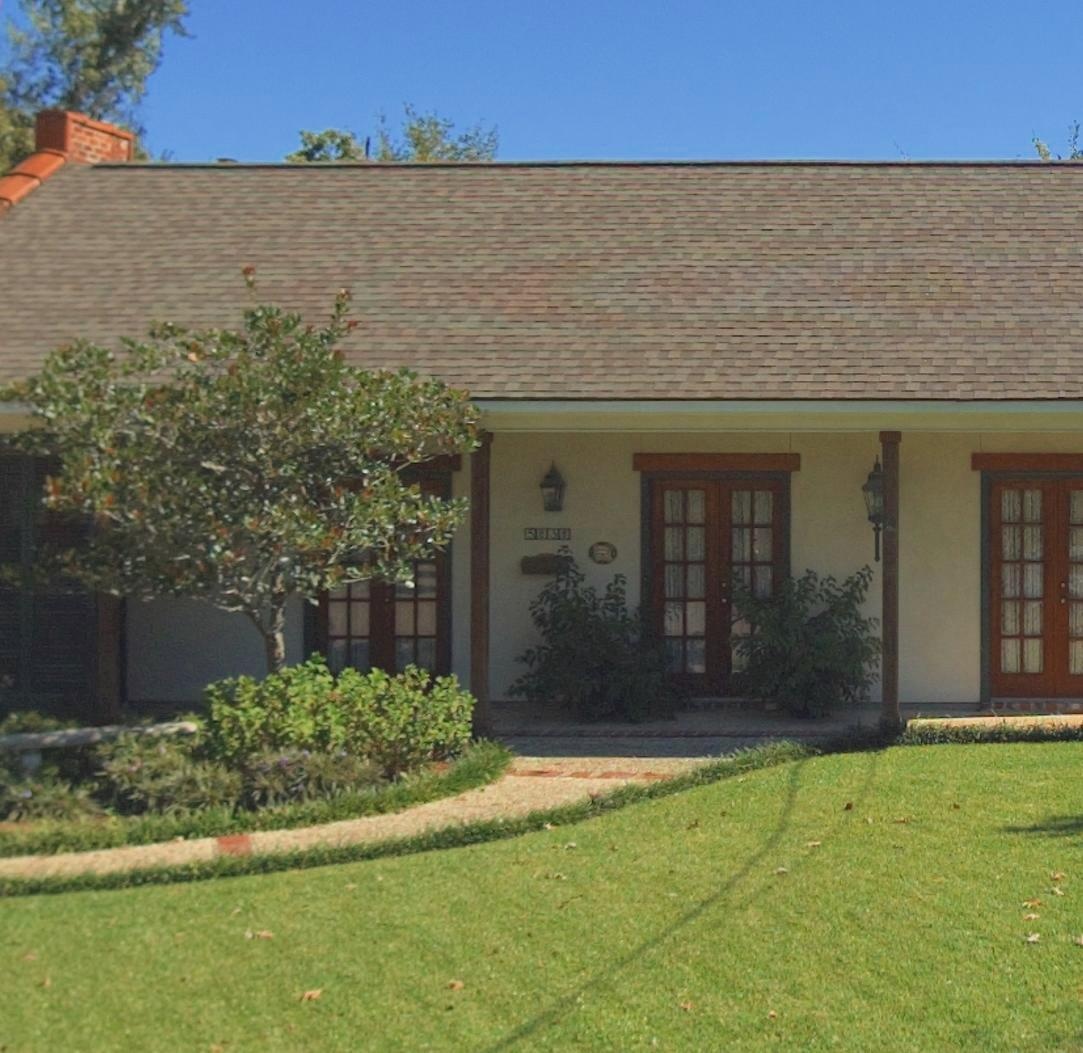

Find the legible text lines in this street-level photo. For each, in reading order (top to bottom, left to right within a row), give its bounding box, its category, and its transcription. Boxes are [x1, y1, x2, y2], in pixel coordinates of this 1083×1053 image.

[525, 527, 570, 541] StreetNumber: 5838